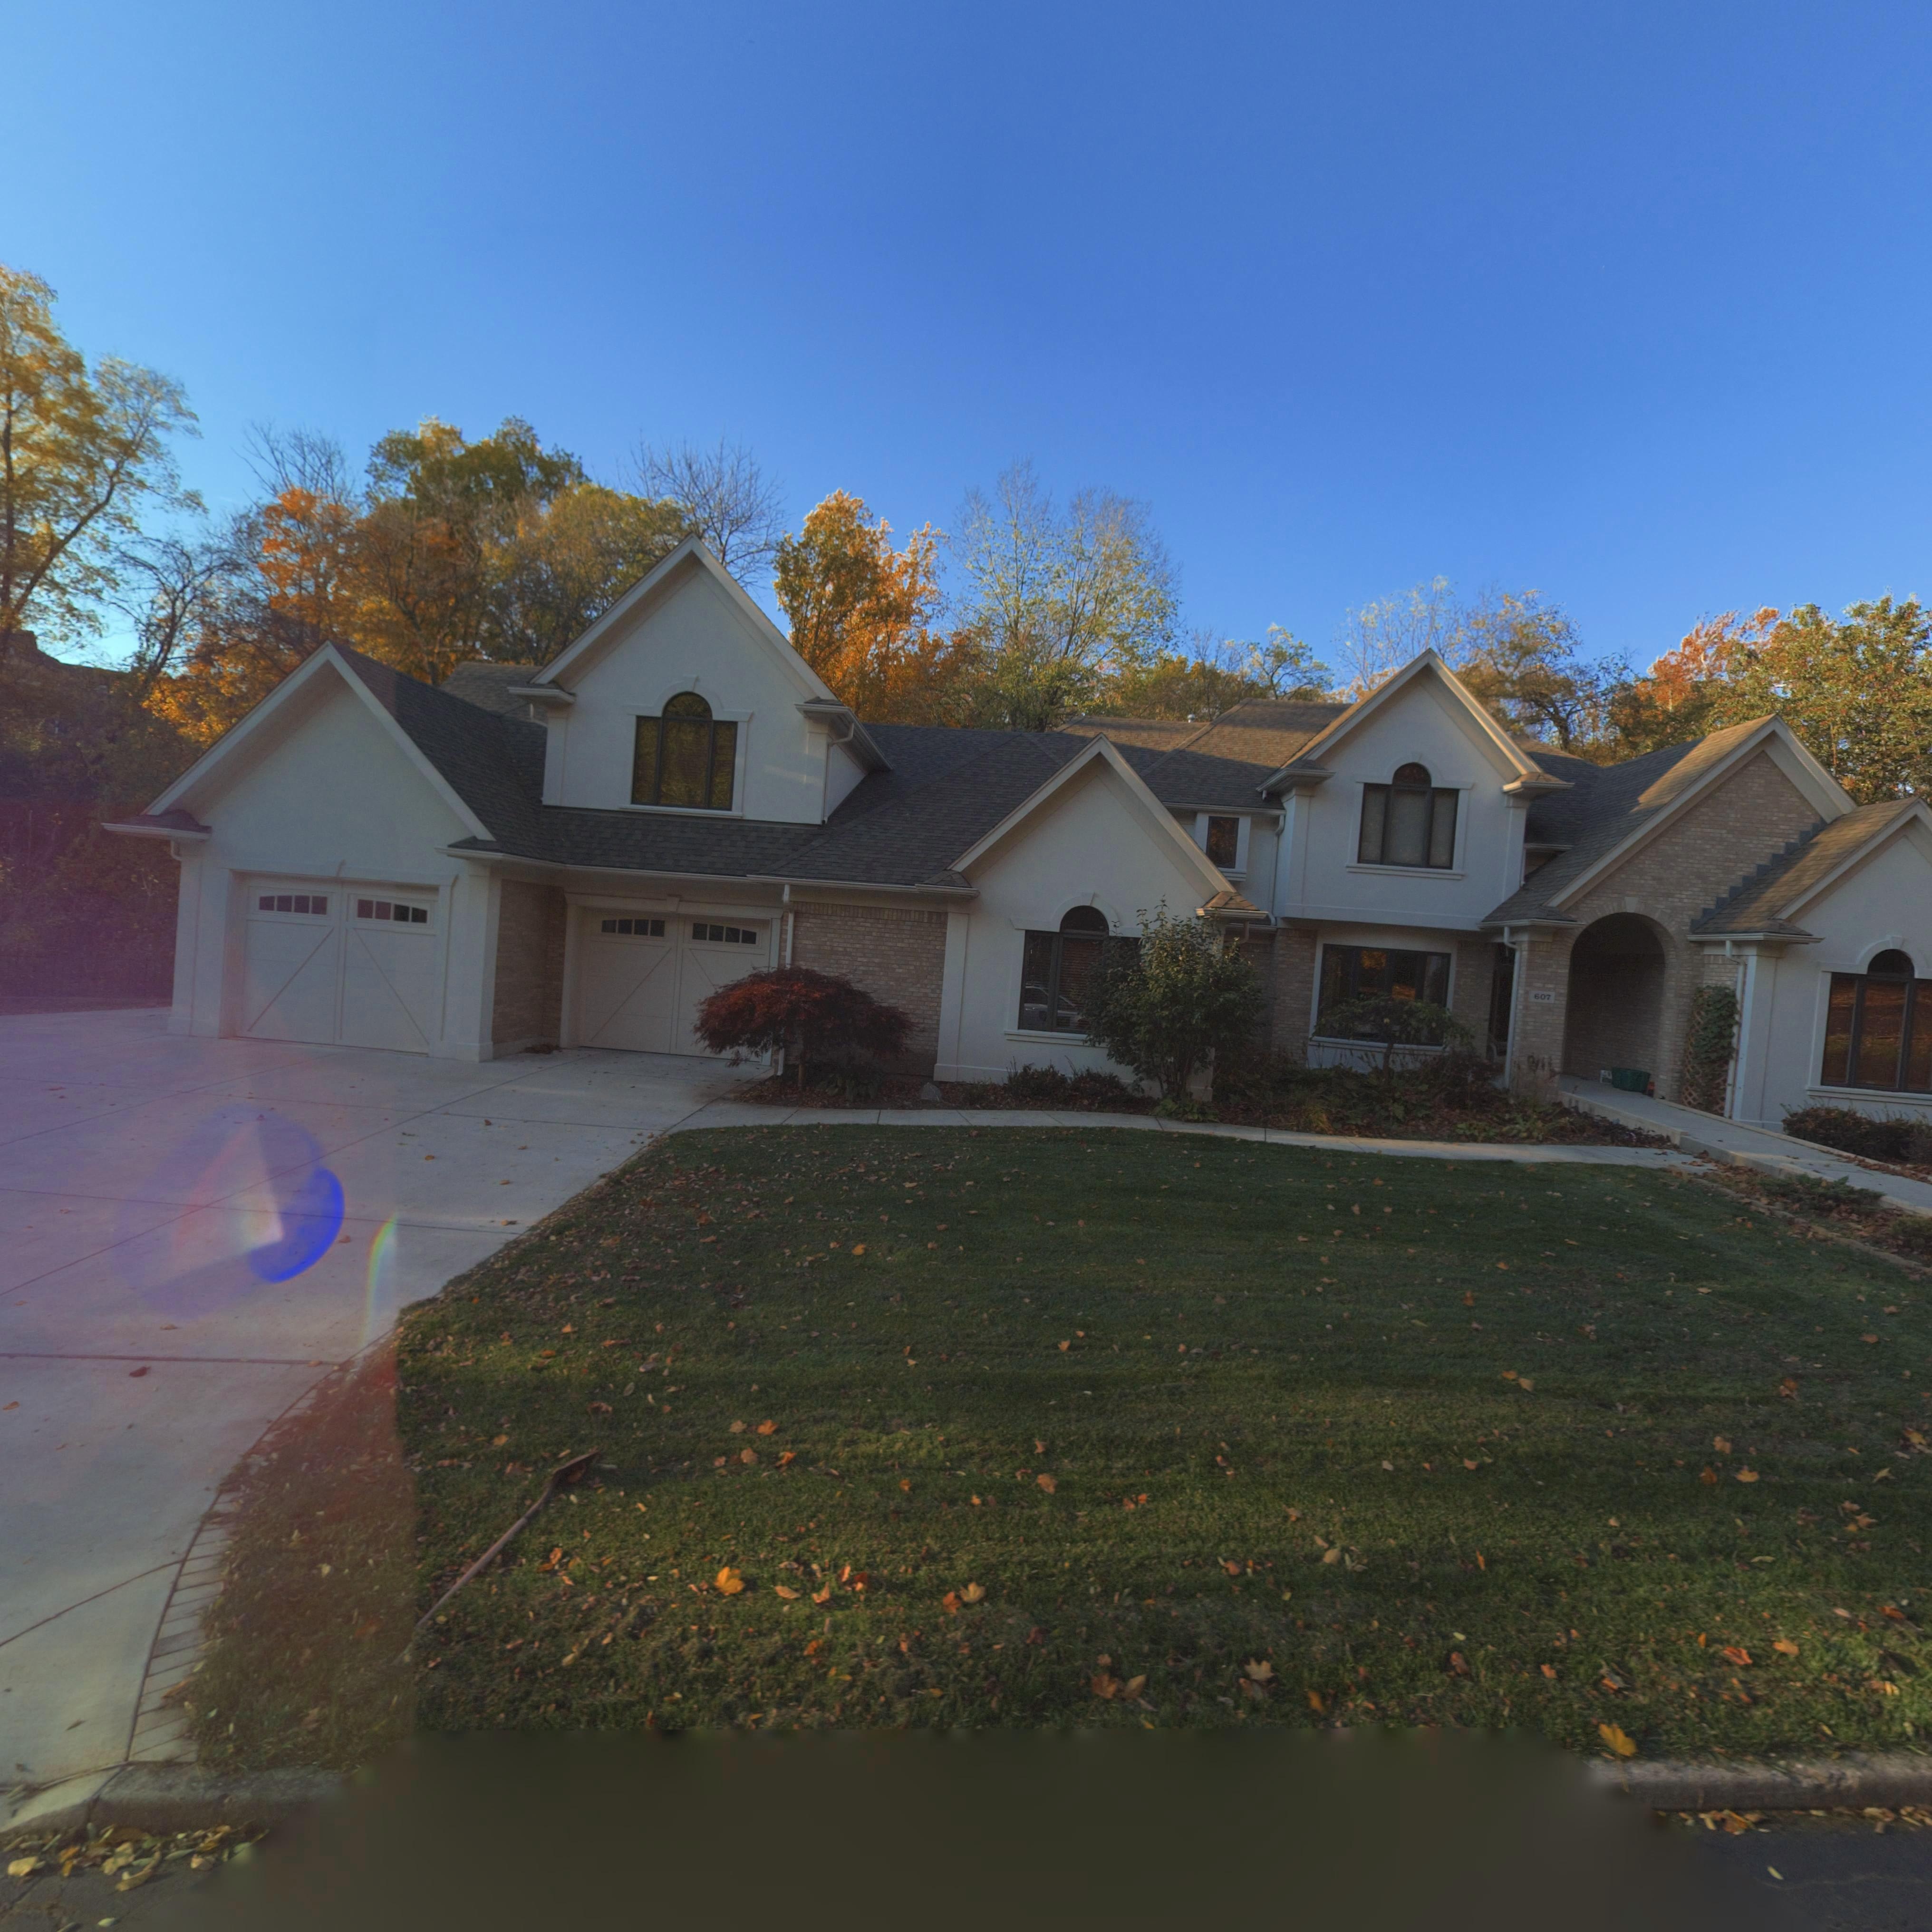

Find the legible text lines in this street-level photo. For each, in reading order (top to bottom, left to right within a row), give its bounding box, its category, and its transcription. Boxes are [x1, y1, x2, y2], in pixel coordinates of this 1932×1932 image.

[1533, 993, 1552, 1001] StreetNumber: 607